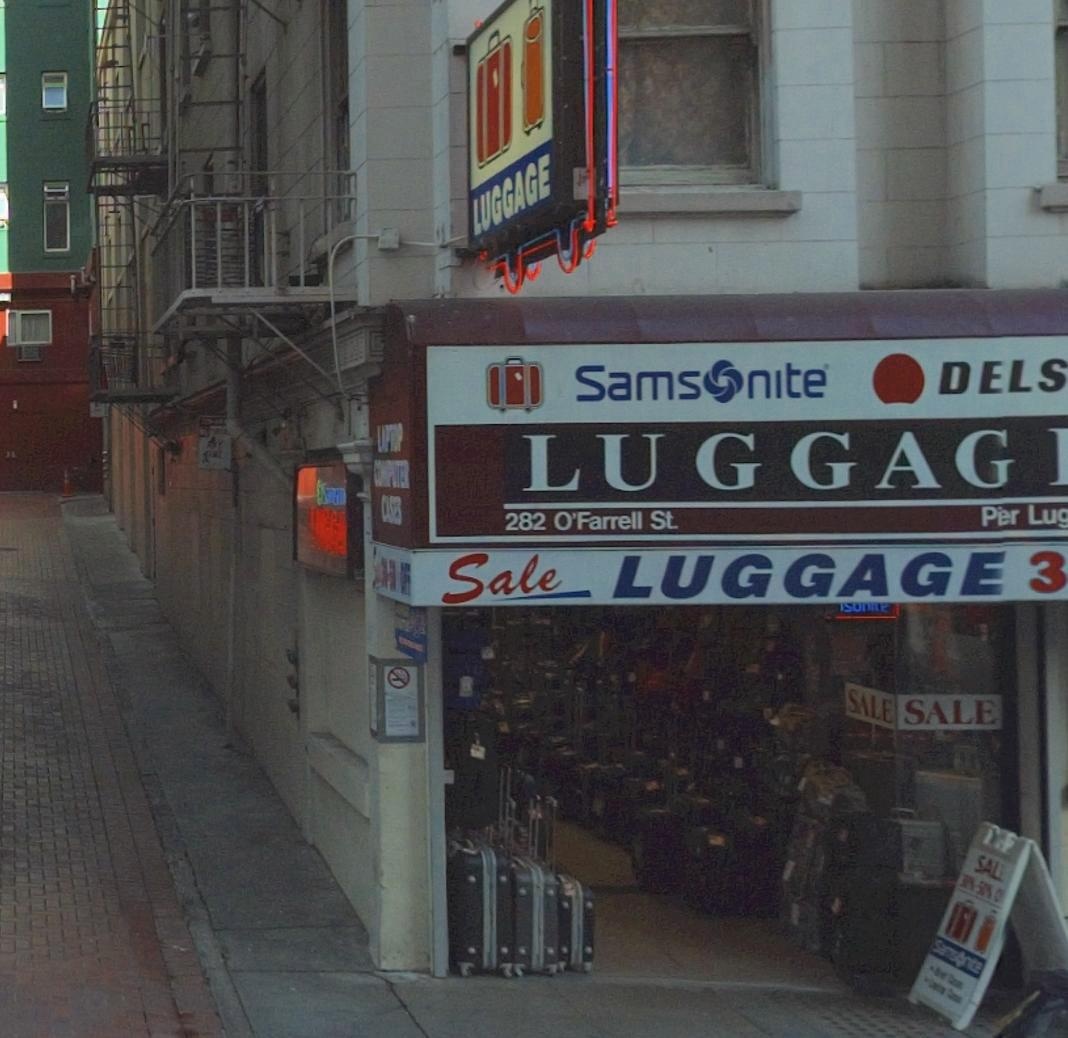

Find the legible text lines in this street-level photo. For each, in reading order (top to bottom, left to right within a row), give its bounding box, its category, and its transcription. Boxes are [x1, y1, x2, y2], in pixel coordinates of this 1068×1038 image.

[469, 147, 554, 245] None: LUGGAGE
[568, 357, 835, 406] None: Sams*nite
[936, 355, 1068, 398] None: DELS
[373, 418, 407, 459] None: L****P
[369, 456, 413, 493] None: CO***TER
[513, 421, 1021, 501] BusinessName: LUGGAG
[377, 491, 405, 532] None: CASES
[502, 507, 550, 536] StreetNumber: 282
[552, 506, 682, 535] StreetName: O'Farrell St.
[979, 501, 1062, 533] None: Pier Lu
[436, 544, 569, 609] None: Sale
[605, 545, 1068, 604] None: LUGGAGE 3
[844, 681, 897, 732] None: SALE
[898, 694, 1005, 729] None: SALE
[971, 848, 996, 880] None: SA
[926, 936, 988, 981] None: Sam*on*te